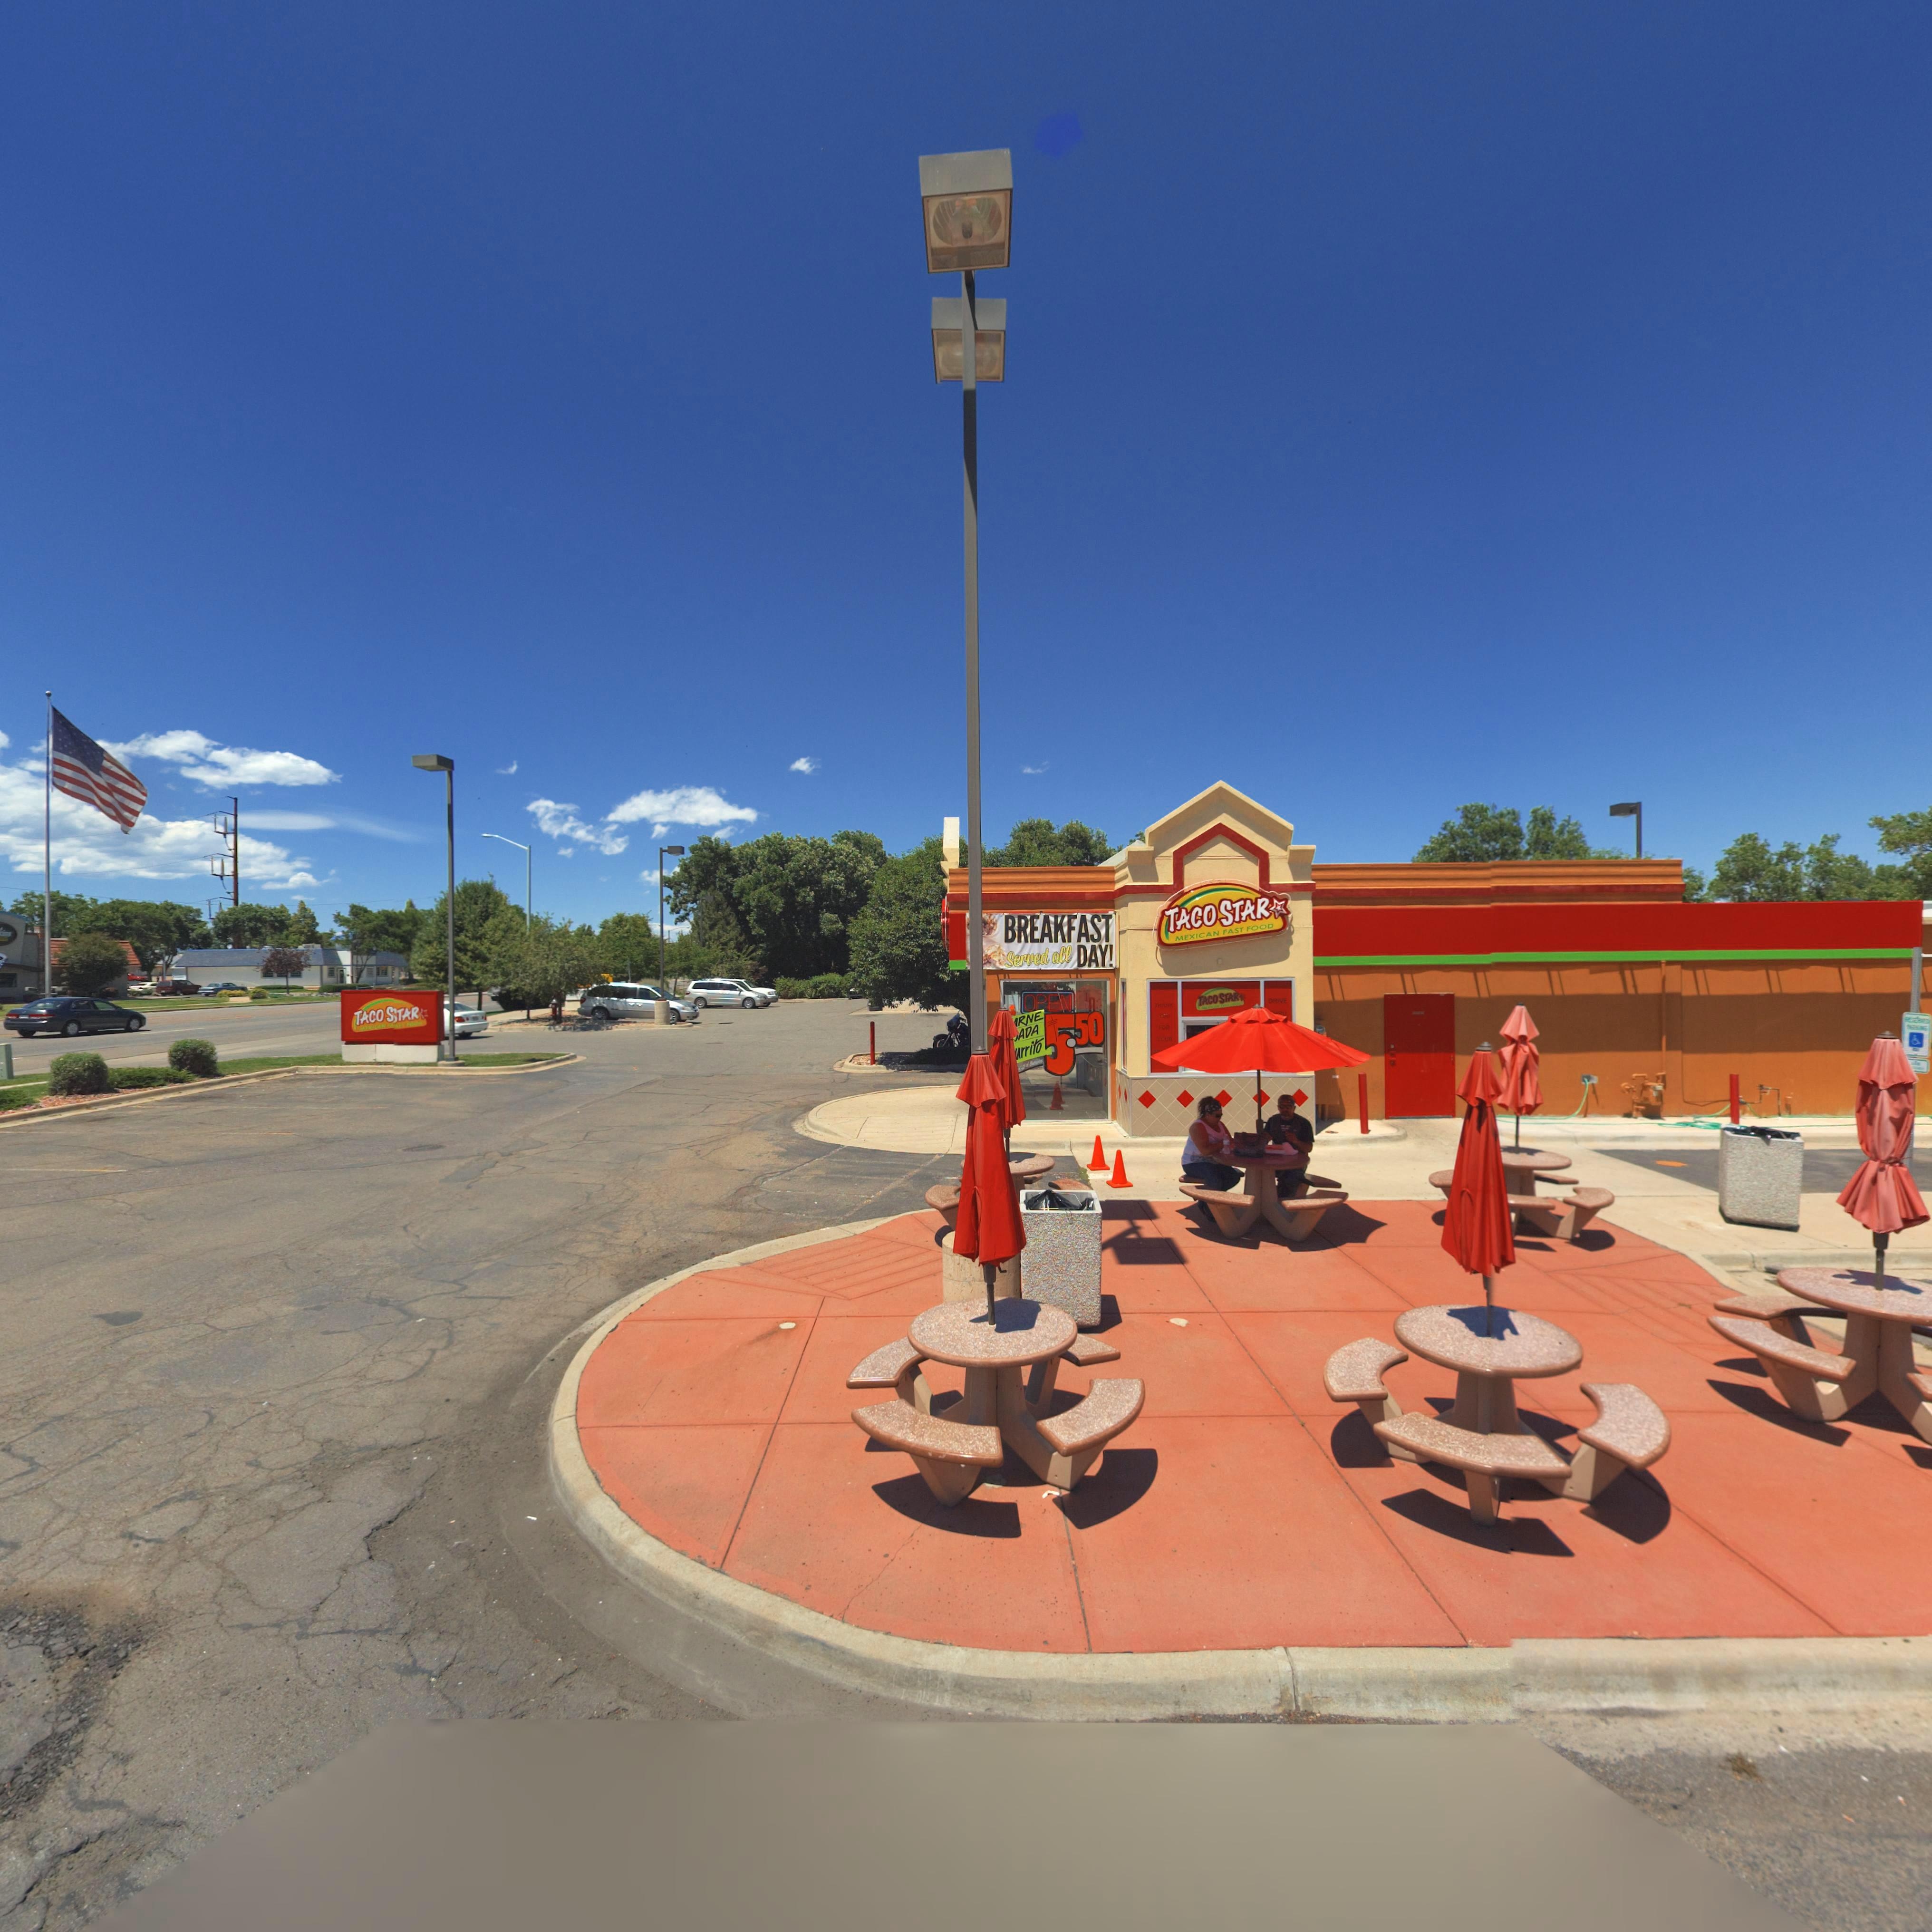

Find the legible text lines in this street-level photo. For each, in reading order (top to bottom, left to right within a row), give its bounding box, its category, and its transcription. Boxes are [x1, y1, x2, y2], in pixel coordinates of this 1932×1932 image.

[1163, 896, 1272, 934] BusinessName: TACO STAR
[1197, 991, 1240, 1006] BusinessName: TACO STAR
[353, 1005, 420, 1026] BusinessName: TACO STAR